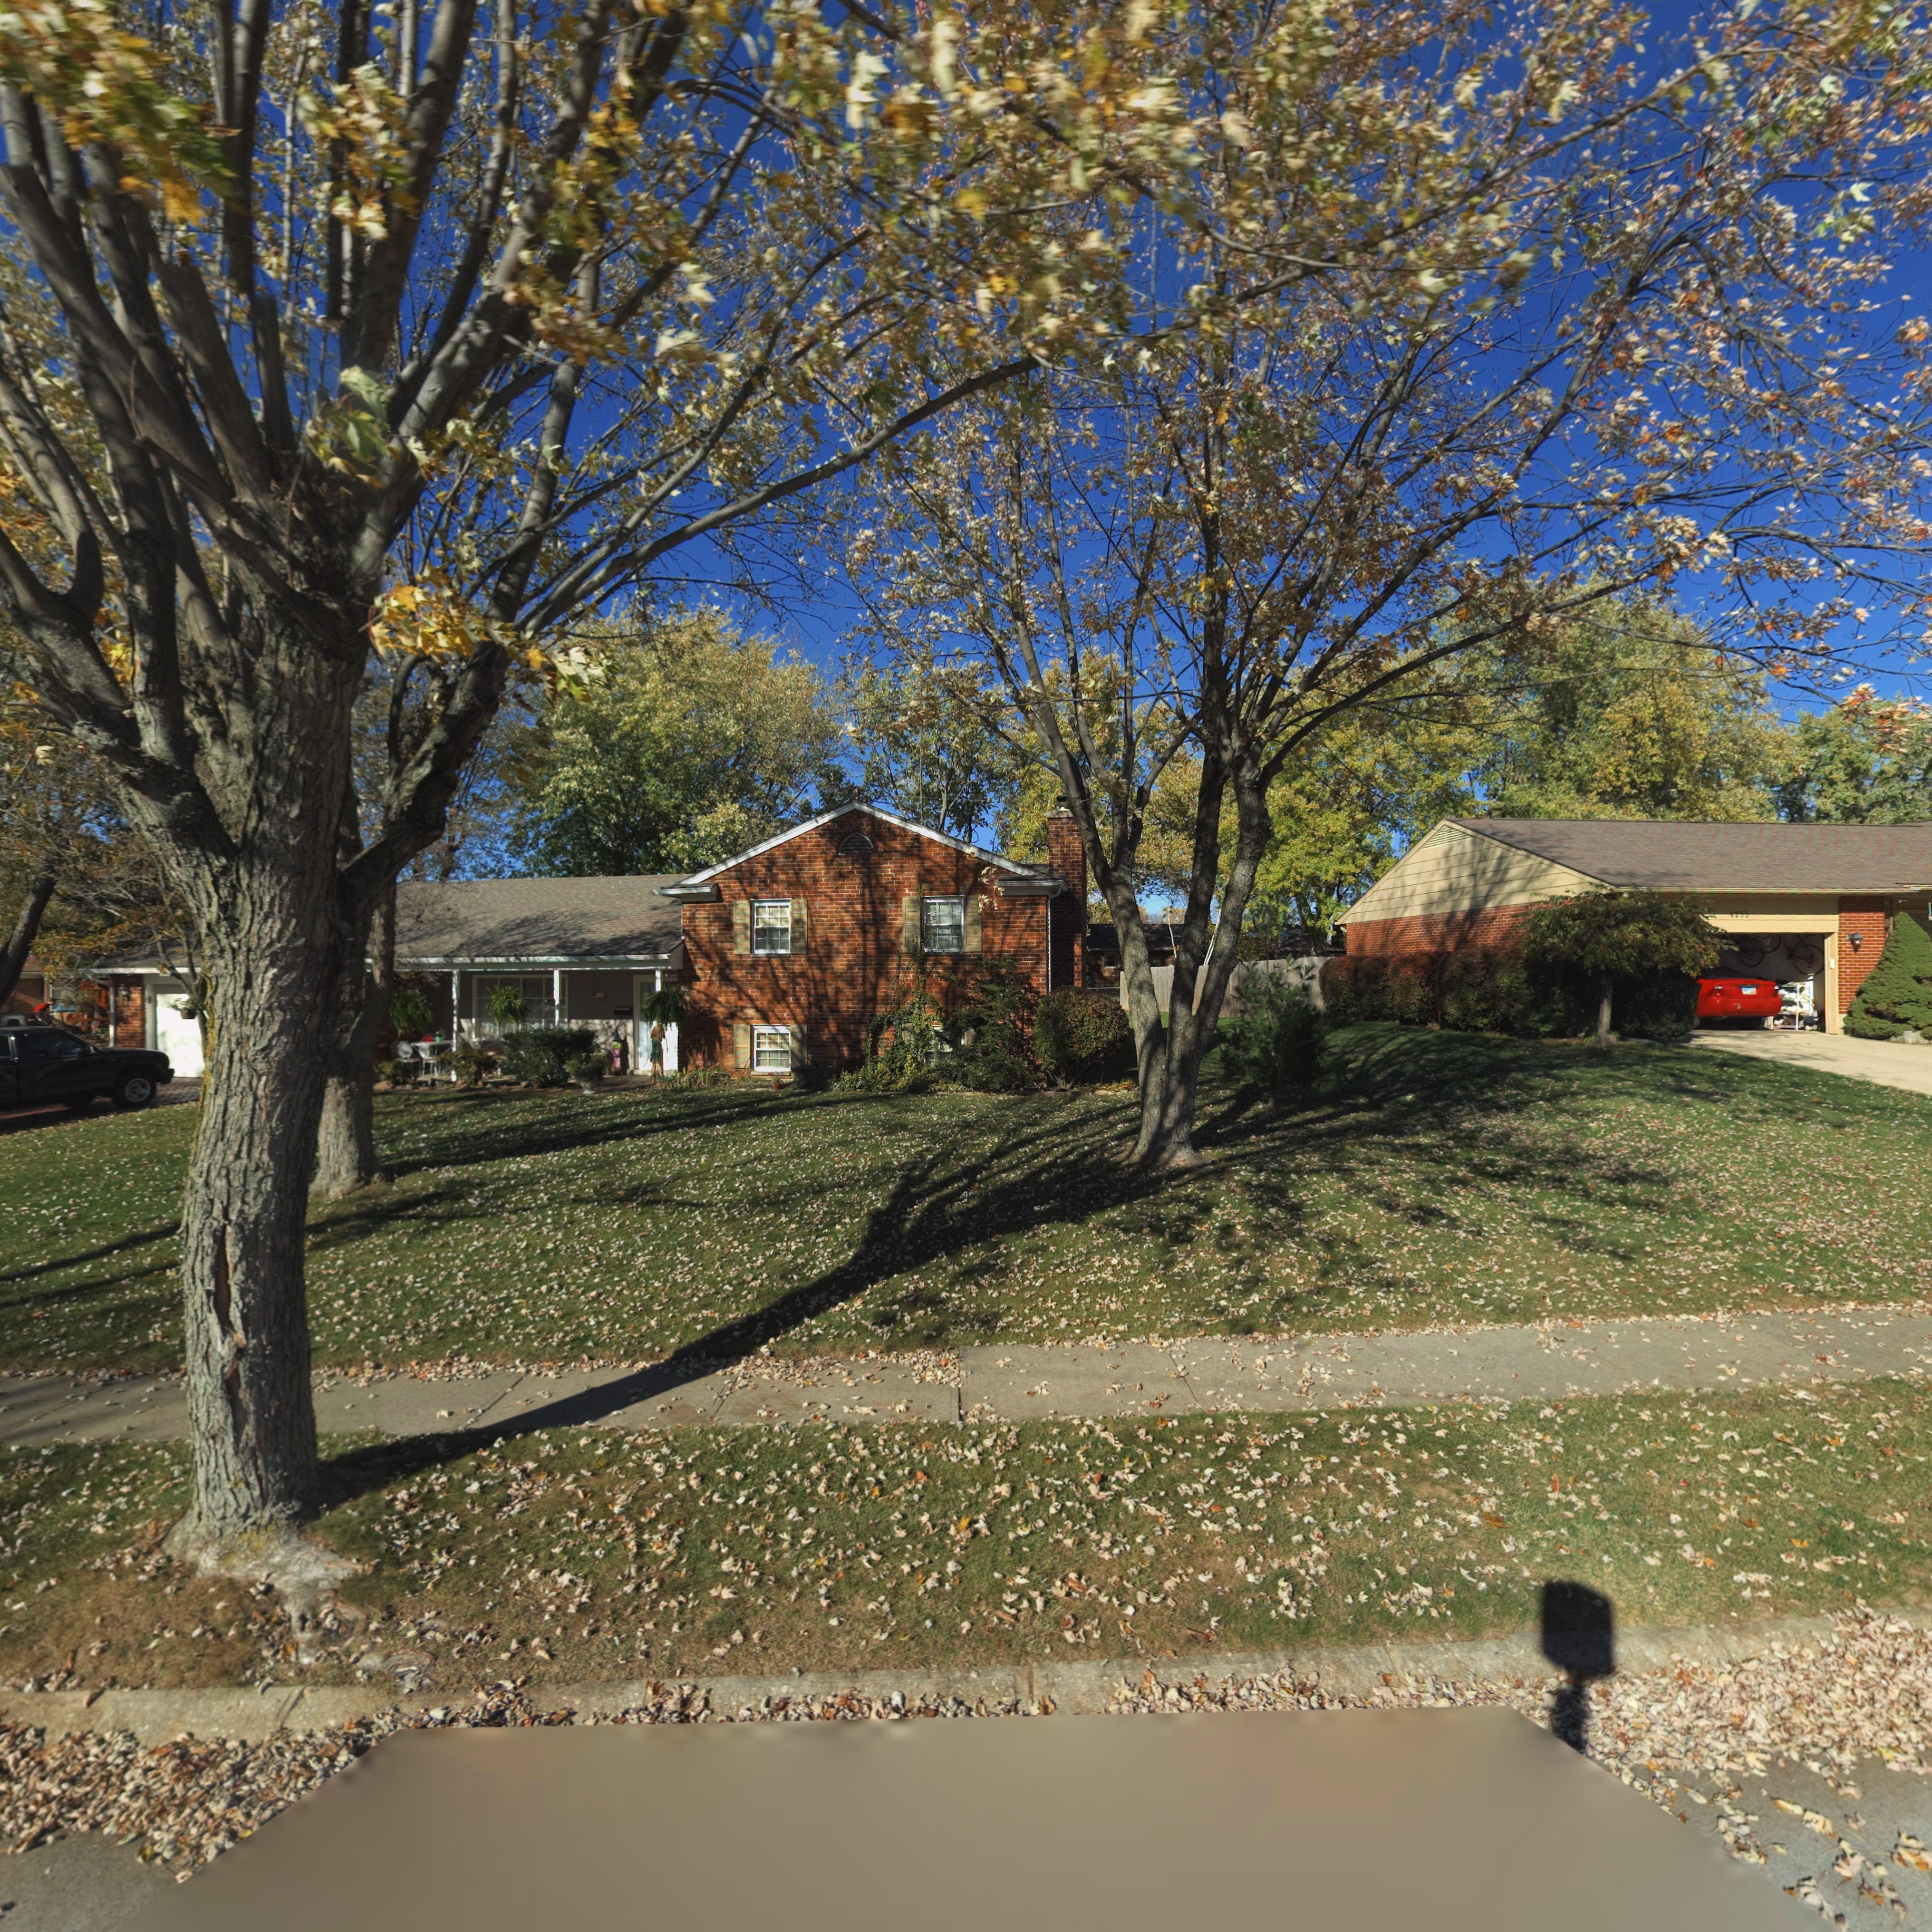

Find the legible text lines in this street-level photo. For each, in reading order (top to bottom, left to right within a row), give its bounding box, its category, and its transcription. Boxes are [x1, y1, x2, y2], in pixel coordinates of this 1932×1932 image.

[1729, 909, 1750, 919] StreetNumber: 4255